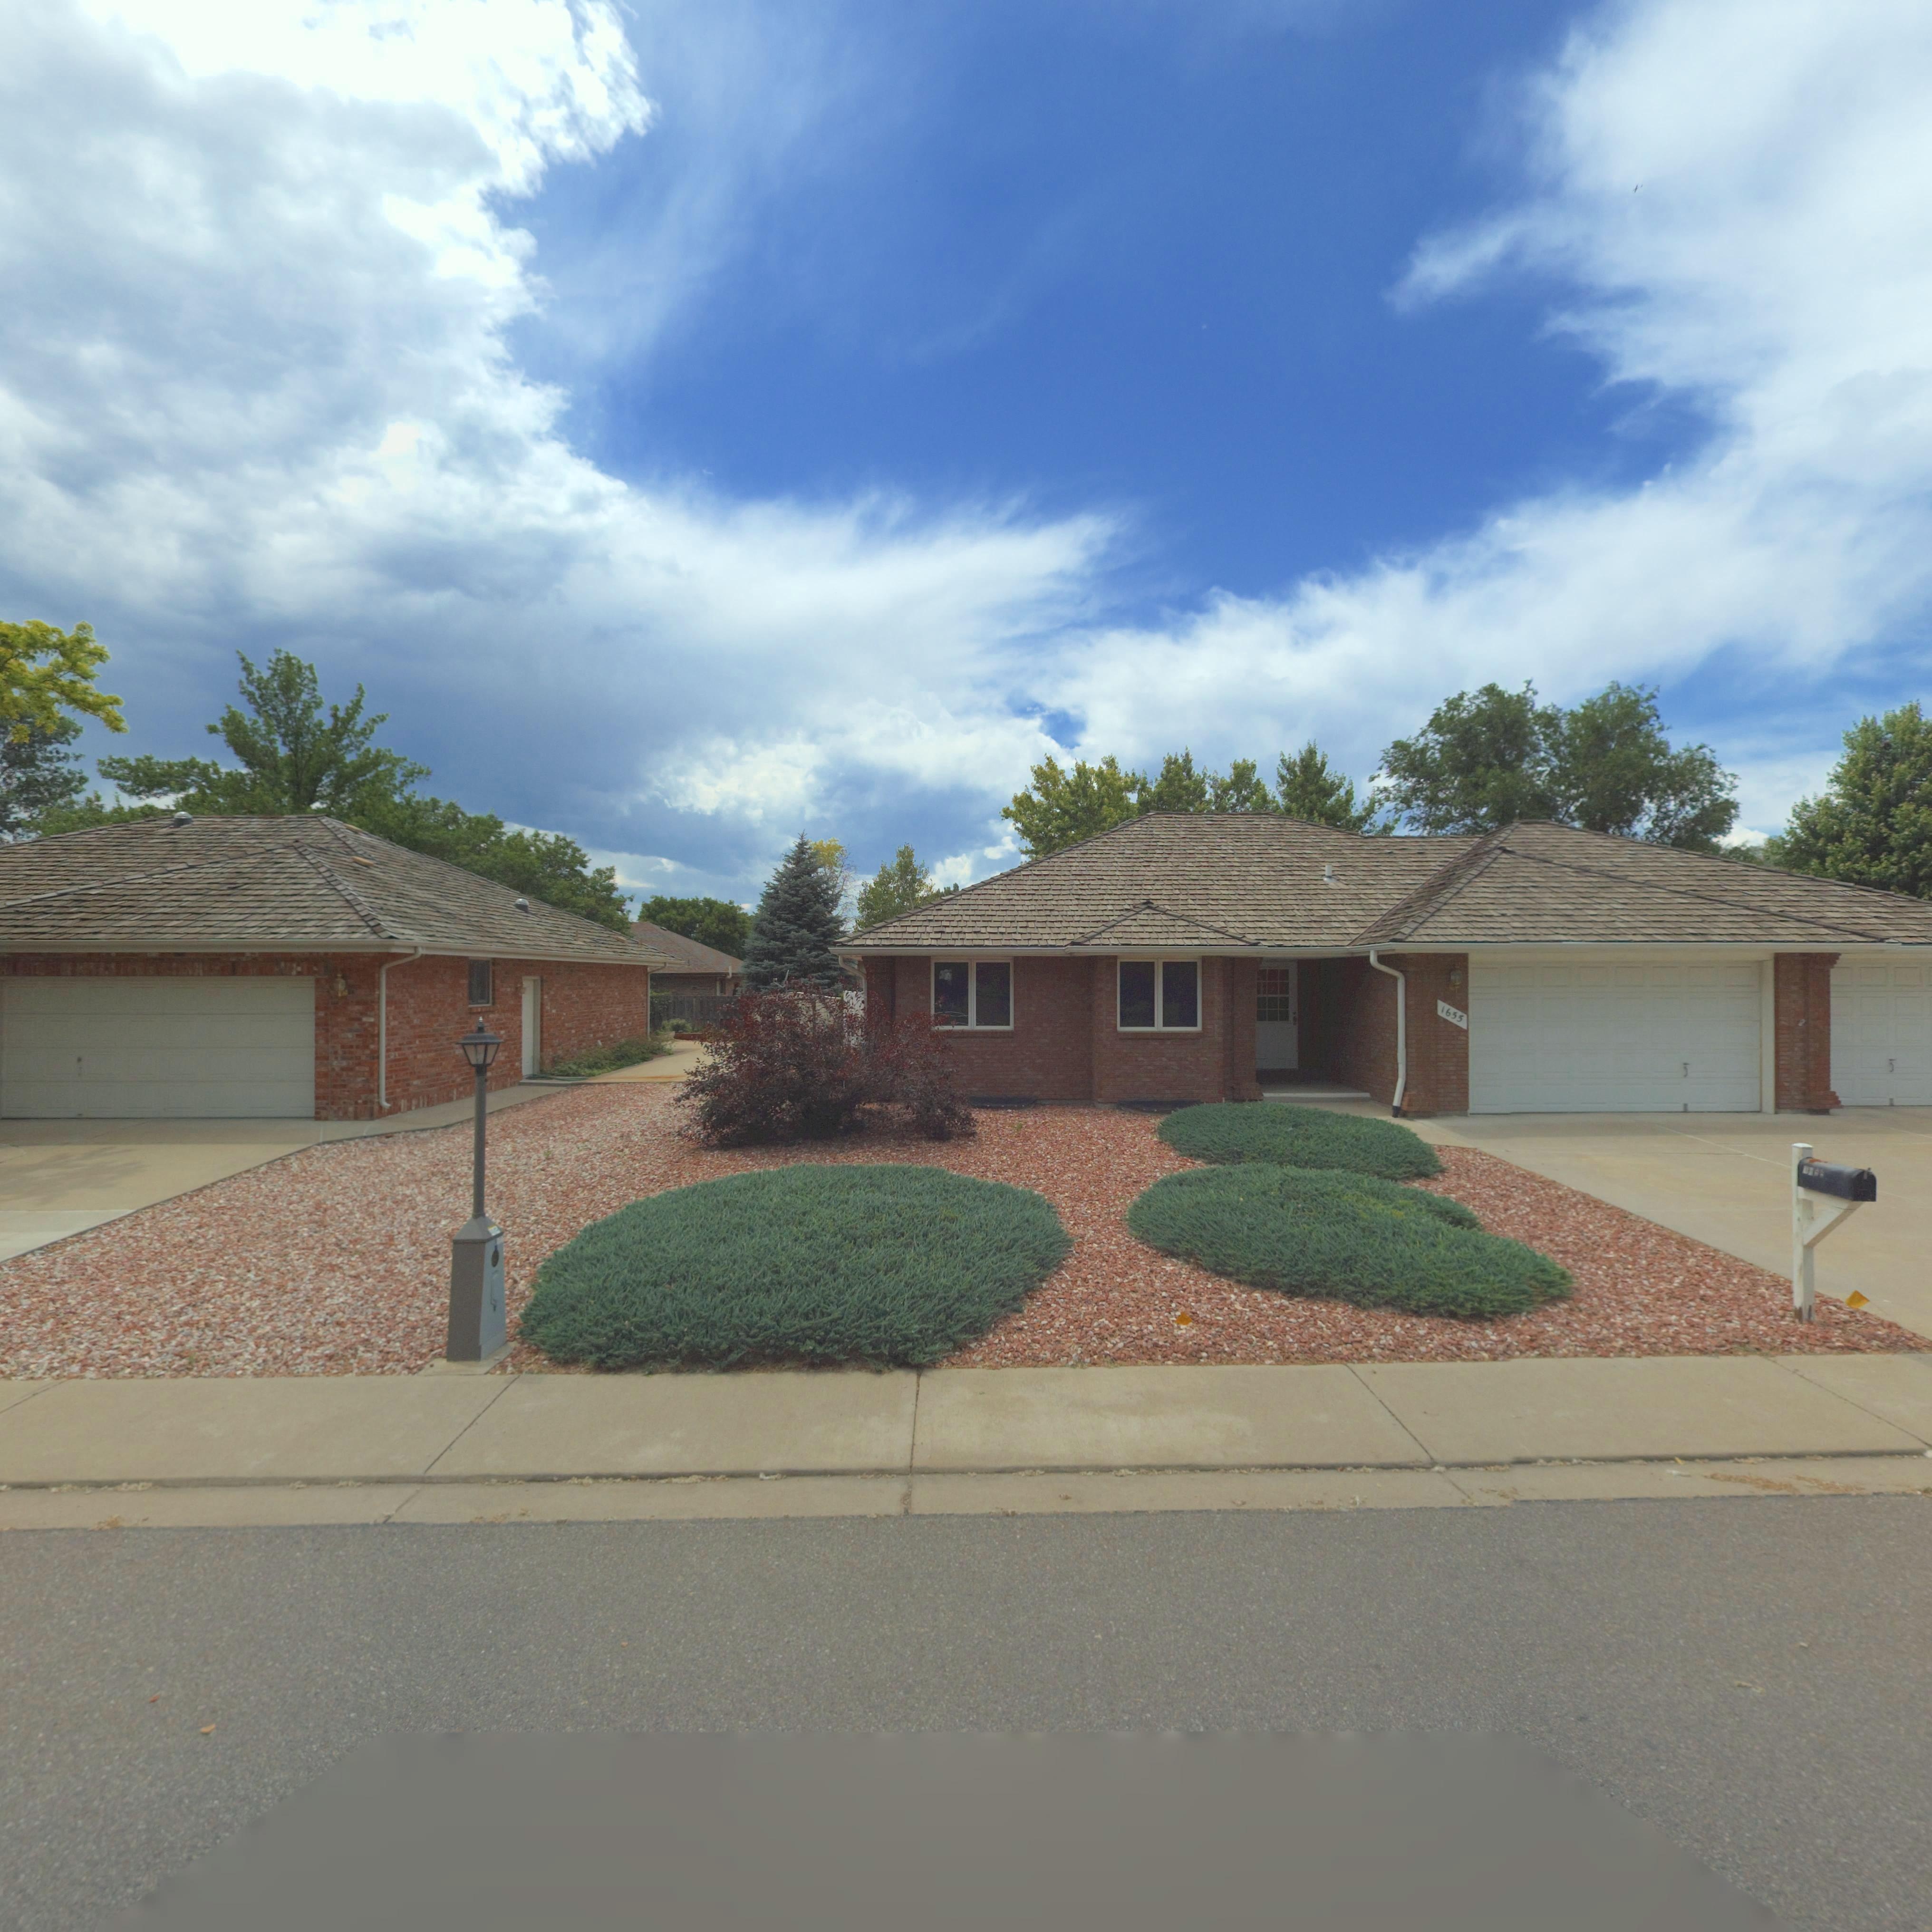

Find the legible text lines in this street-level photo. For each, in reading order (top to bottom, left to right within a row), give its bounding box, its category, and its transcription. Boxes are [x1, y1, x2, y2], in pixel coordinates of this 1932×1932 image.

[1440, 1004, 1464, 1022] StreetNumber: 1655